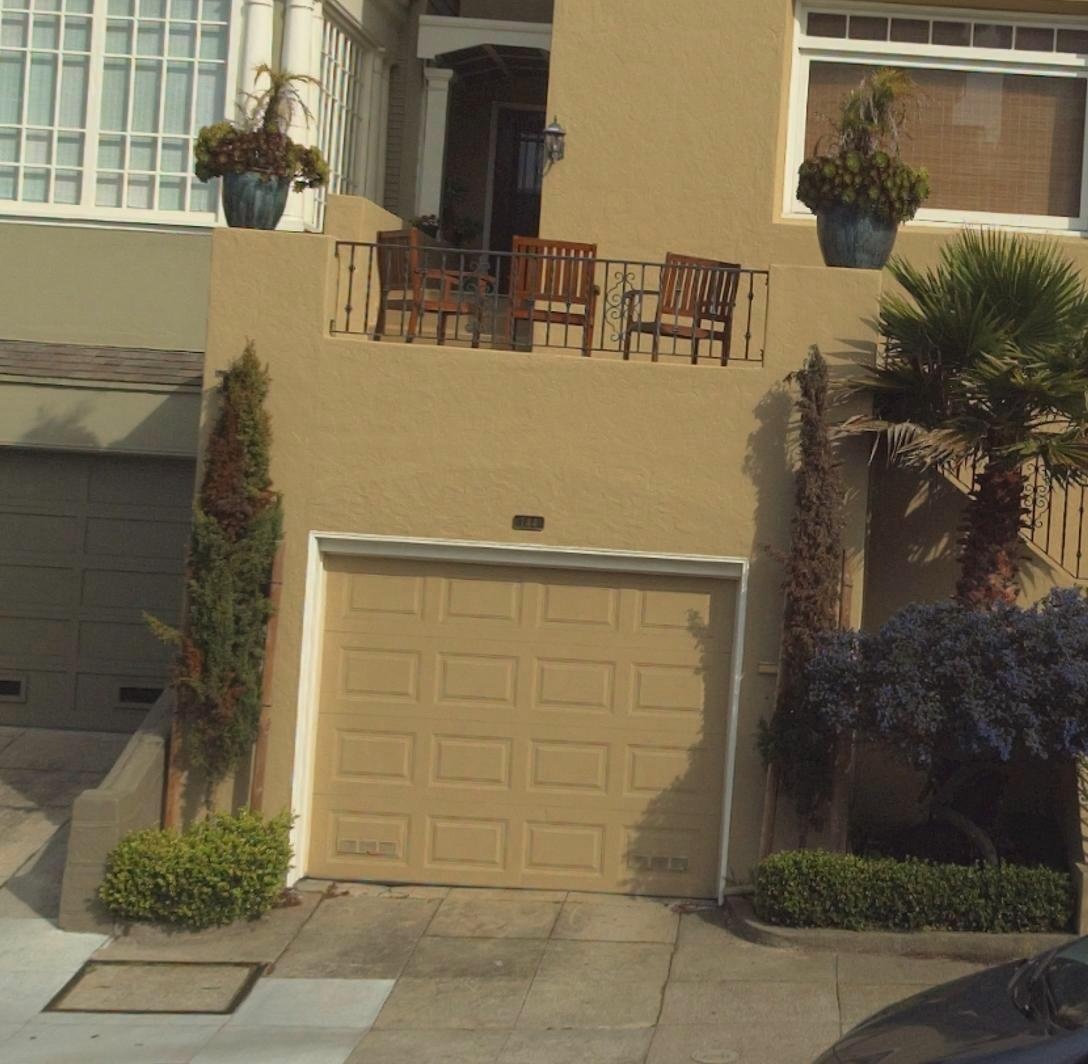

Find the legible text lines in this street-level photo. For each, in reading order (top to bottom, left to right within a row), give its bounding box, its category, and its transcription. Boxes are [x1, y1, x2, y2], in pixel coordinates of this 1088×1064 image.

[519, 516, 540, 528] StreetNumber: 144